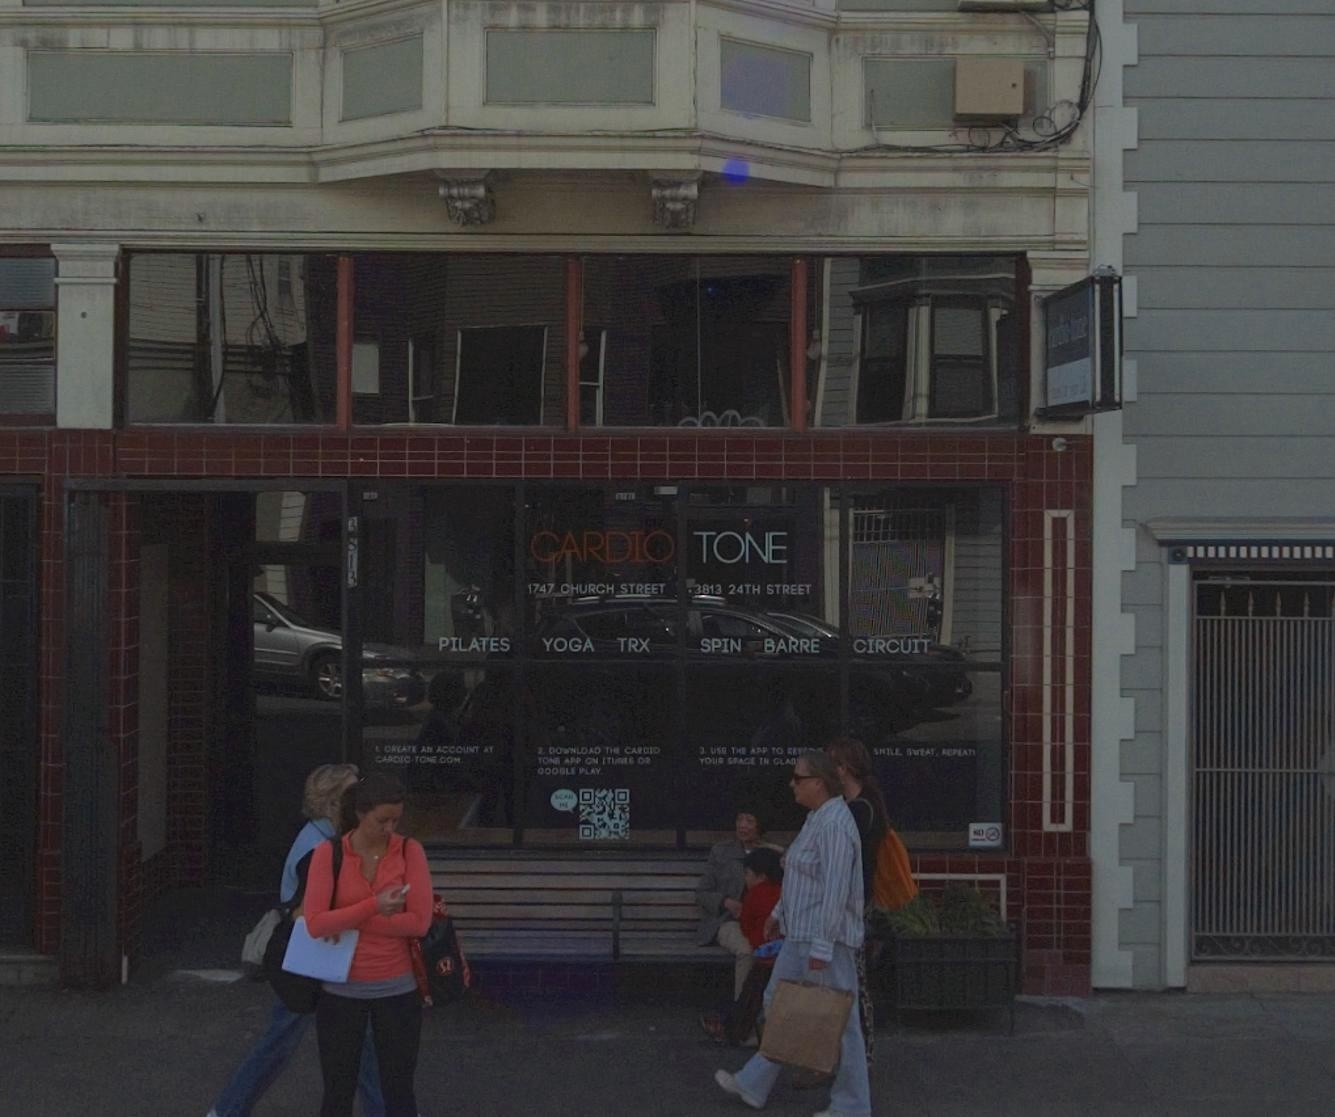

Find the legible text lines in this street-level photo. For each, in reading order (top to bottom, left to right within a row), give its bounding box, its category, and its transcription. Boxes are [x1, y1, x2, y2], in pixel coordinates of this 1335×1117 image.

[346, 517, 357, 588] StreetNumber: 3813
[529, 530, 788, 564] BusinessName: CARDIO TONE
[526, 582, 555, 595] StreetNumber: 1747
[560, 582, 665, 595] StreetName: CHURCH STREET
[694, 583, 722, 595] StreetNumber: 3813
[728, 583, 812, 595] StreetName: 24TH STREET
[438, 637, 931, 654] None: PILATES YOGA TRX SPIN BARRE CIRCUIT
[374, 744, 494, 755] None: 1. CREATE AN ACCOUNT AT
[536, 746, 661, 755] None: 2. DOWNLOAD THE CARDIO
[698, 745, 785, 755] None: 3. USE THE APP TO
[872, 746, 976, 757] None: SMILE. SWEAT. REPEAT!
[374, 754, 463, 764] None: CARDIO*TONE.COM
[536, 756, 652, 765] None: TONE APP ON ITUNES OR
[698, 755, 770, 767] None: YOUR SPACE IN
[536, 766, 604, 776] None: GOOGLE PLAY.
[554, 793, 574, 801] None: SCAN
[558, 802, 569, 809] None: ME
[972, 827, 985, 838] None: NO